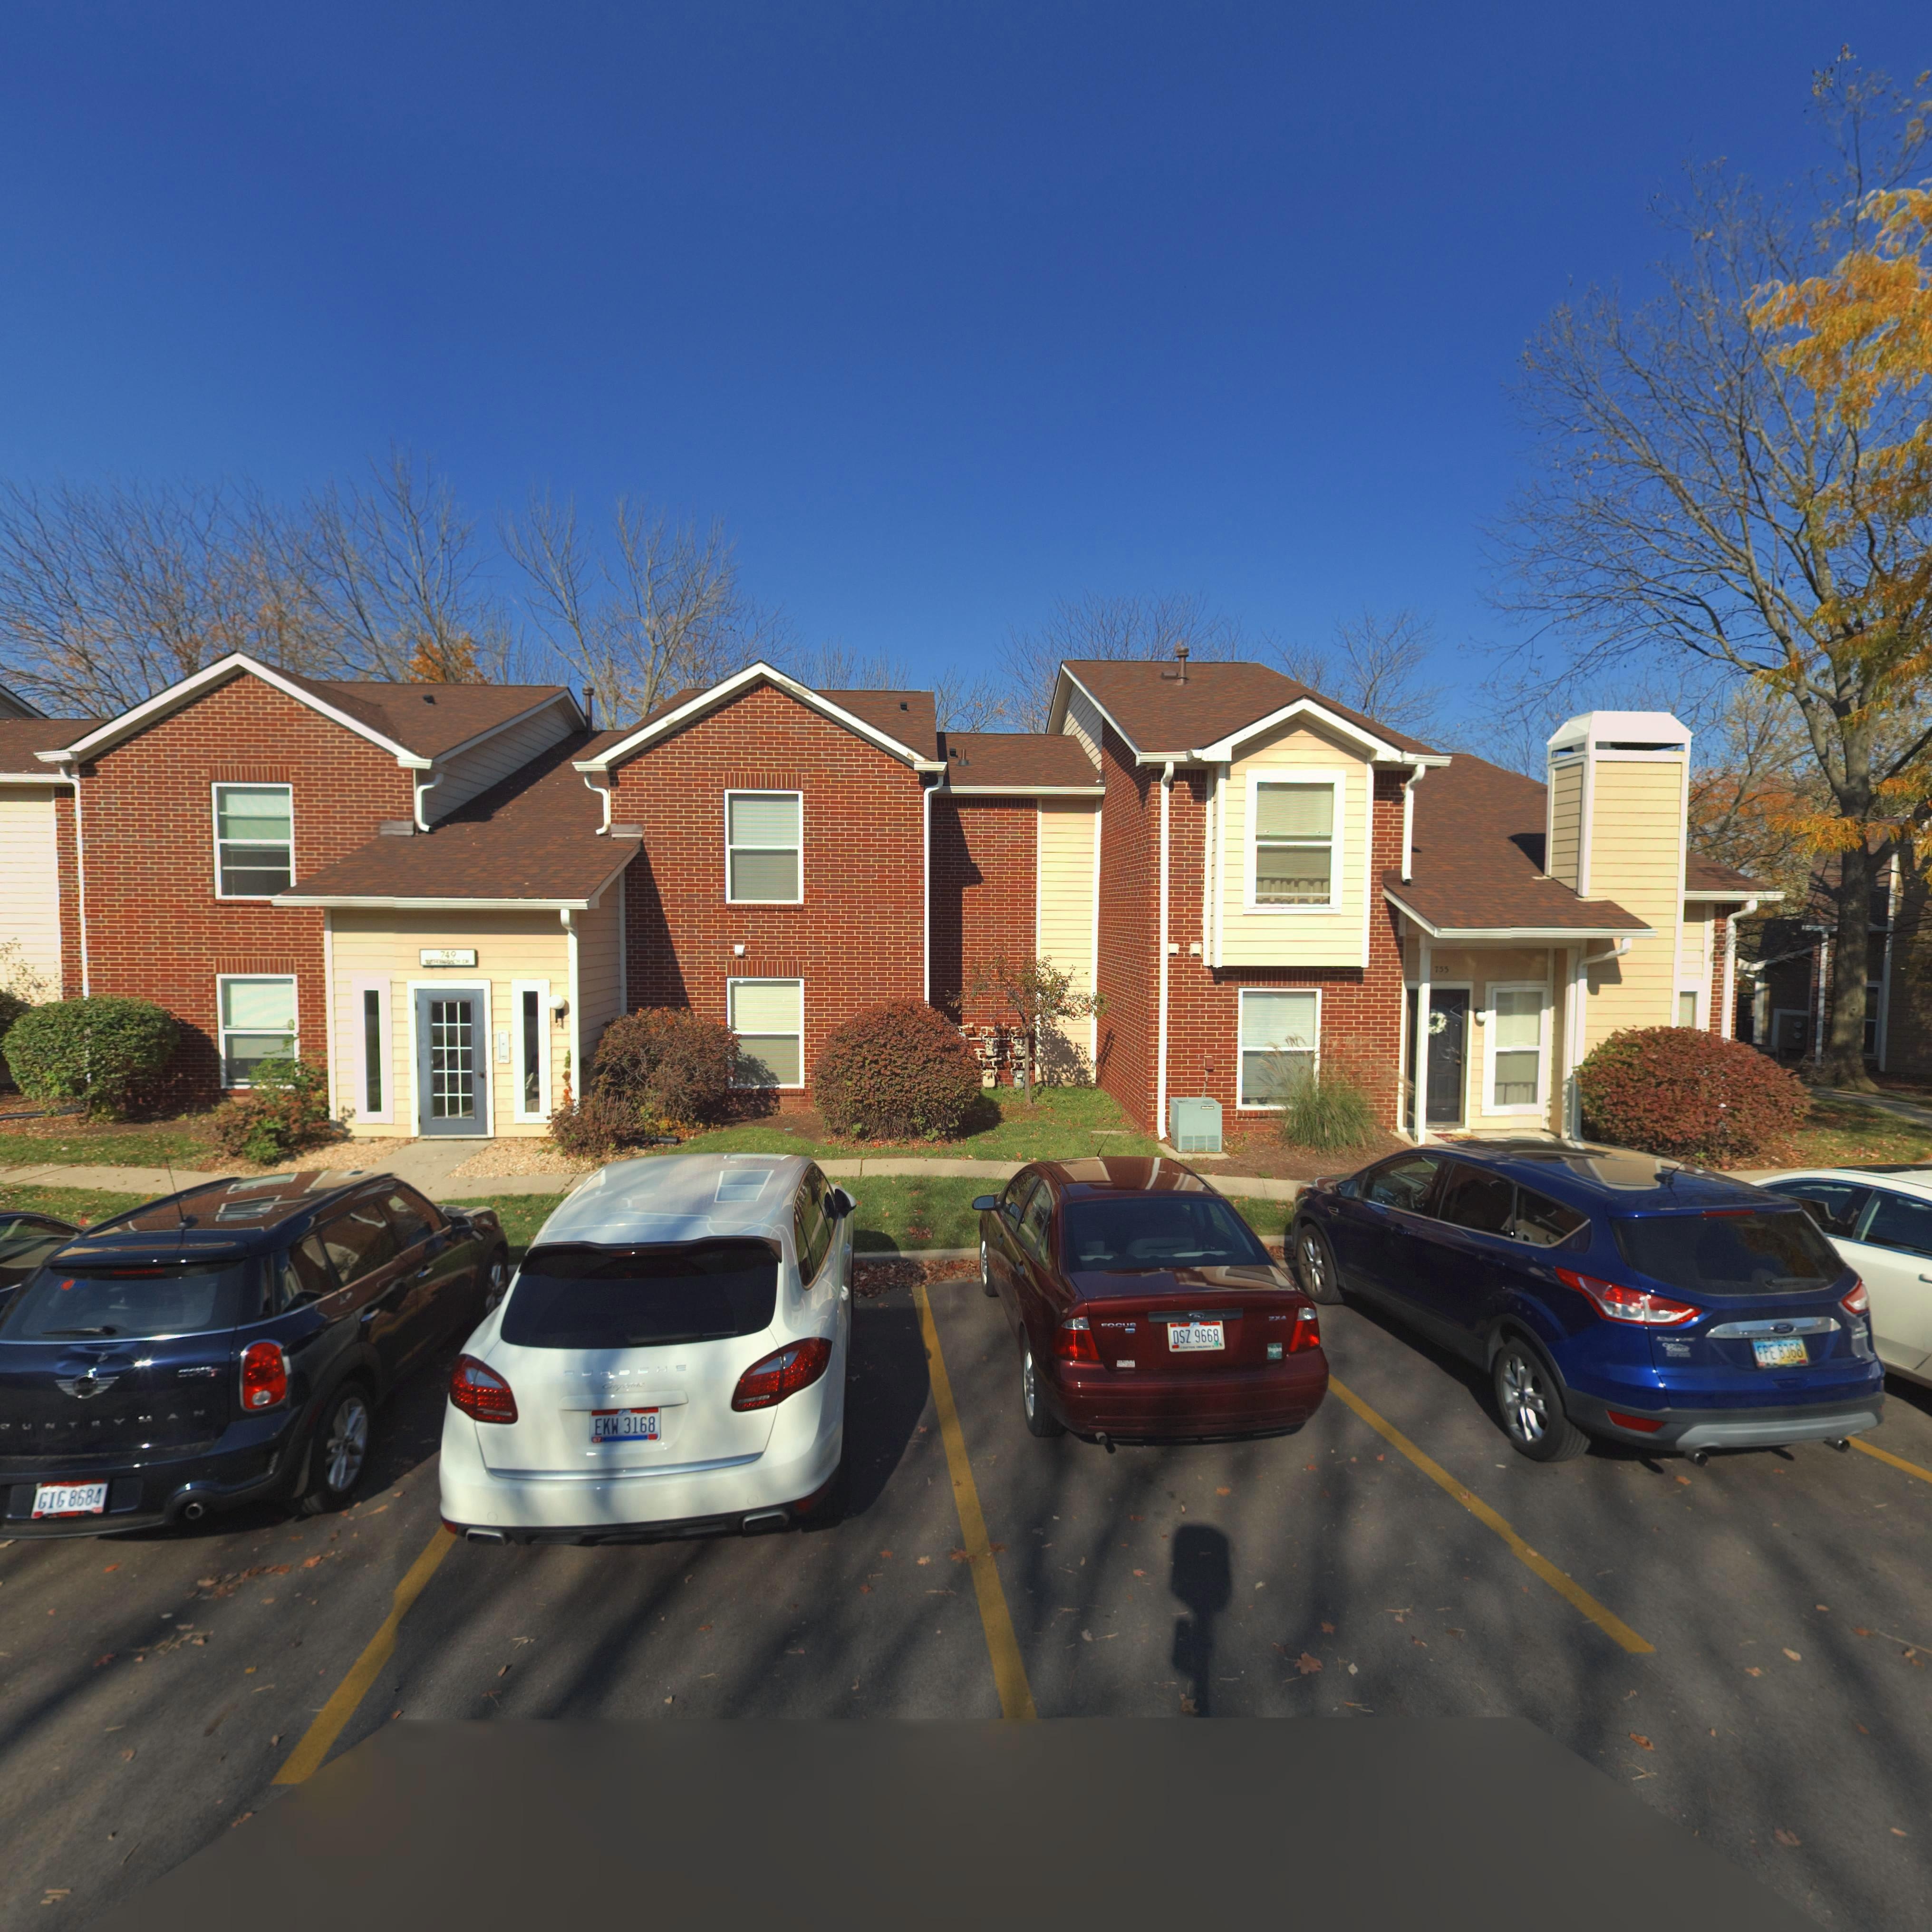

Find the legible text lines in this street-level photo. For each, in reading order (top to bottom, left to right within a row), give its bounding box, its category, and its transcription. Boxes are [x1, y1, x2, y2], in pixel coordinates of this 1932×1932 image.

[439, 949, 457, 960] StreetNumber: 749
[1432, 965, 1451, 974] StreetNumber: 755
[1100, 1321, 1139, 1330] None: FOCUS
[1171, 1326, 1222, 1346] None: DSZ 9668
[1754, 1341, 1806, 1362] None: FPE 8368
[562, 1362, 688, 1379] None: POR*CHE
[19, 1407, 207, 1433] None: UNTRYMAN
[594, 1414, 657, 1438] None: EKW 3168
[35, 1485, 105, 1512] None: GIG 8684